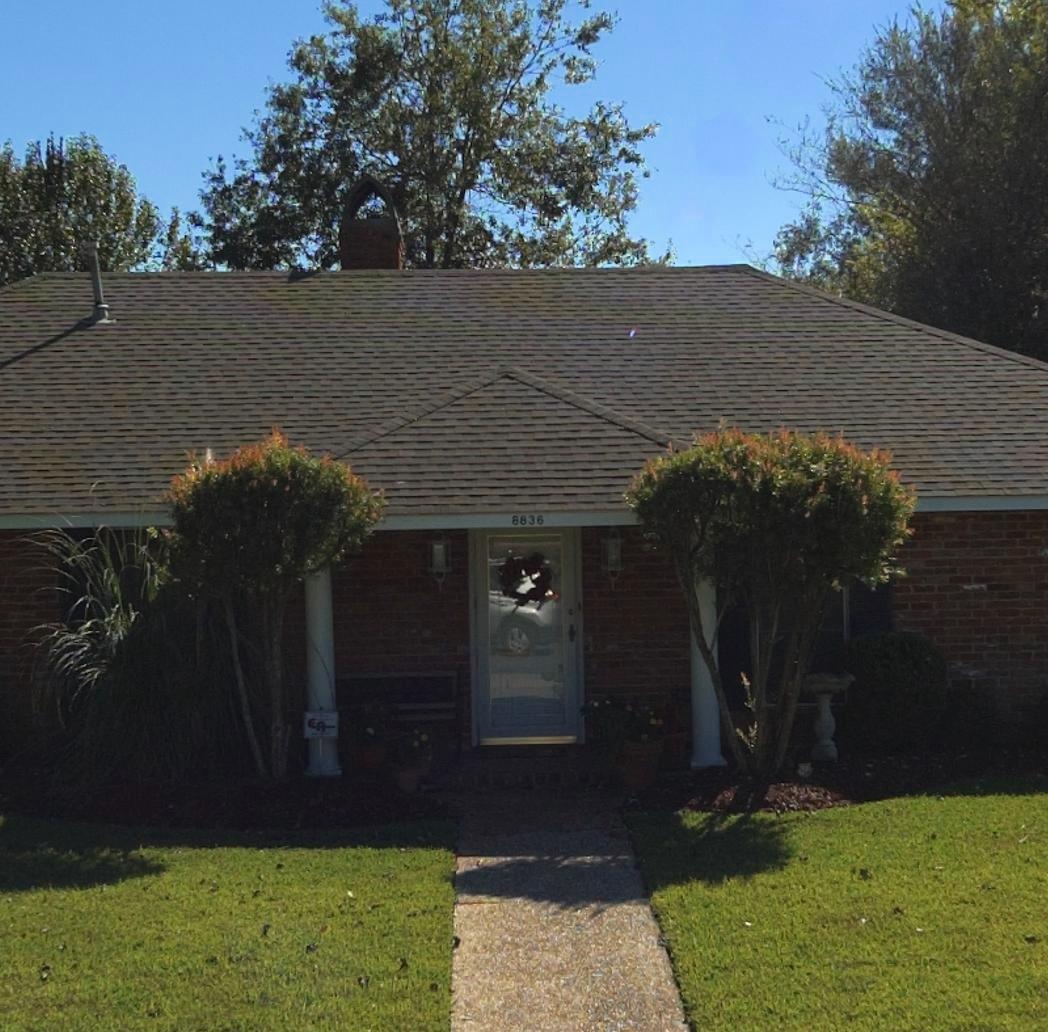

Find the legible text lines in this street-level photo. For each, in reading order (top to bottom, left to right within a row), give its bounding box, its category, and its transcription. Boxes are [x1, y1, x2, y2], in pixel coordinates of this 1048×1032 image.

[510, 514, 545, 527] StreetNumber: 8836